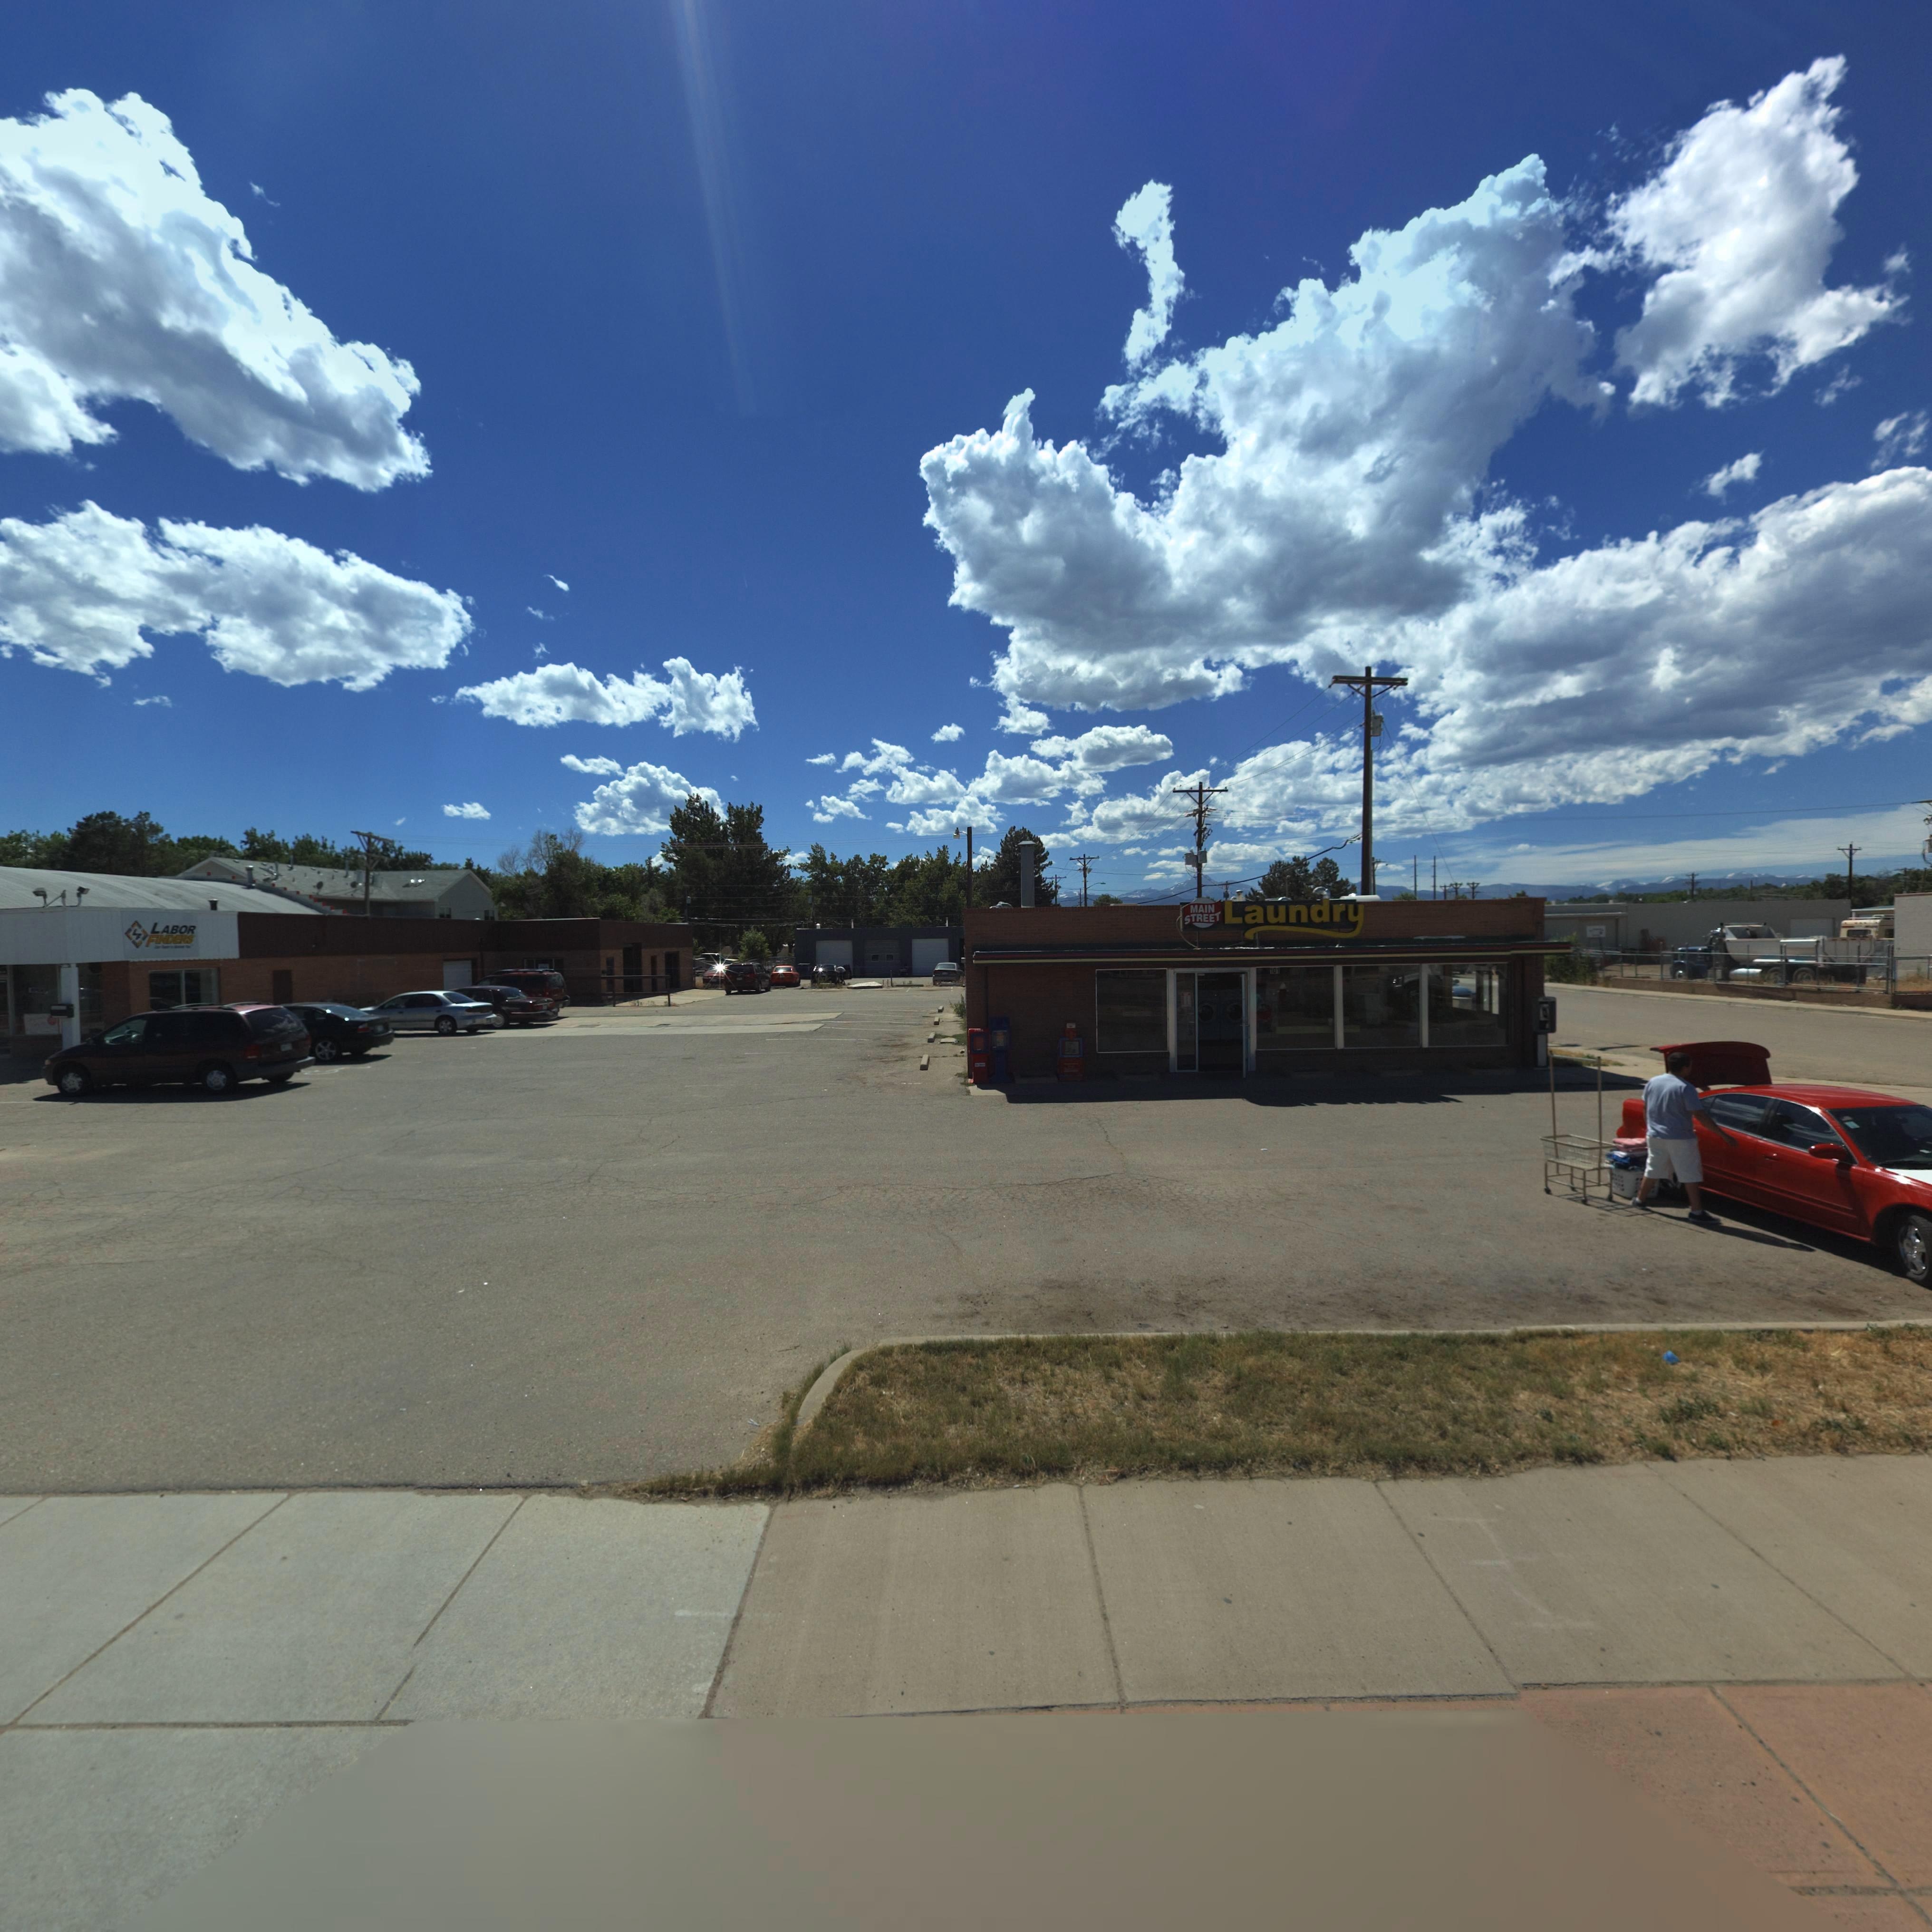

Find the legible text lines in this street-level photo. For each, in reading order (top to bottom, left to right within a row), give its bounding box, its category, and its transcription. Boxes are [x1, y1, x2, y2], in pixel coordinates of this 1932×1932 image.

[1189, 904, 1215, 913] BusinessName: MAIN
[1184, 910, 1221, 924] BusinessName: STREET
[1223, 898, 1365, 937] BusinessName: Laundry
[149, 922, 197, 935] BusinessName: LABOR
[144, 934, 195, 948] BusinessName: FINDERS
[1269, 967, 1279, 974] StreetNumber: 101